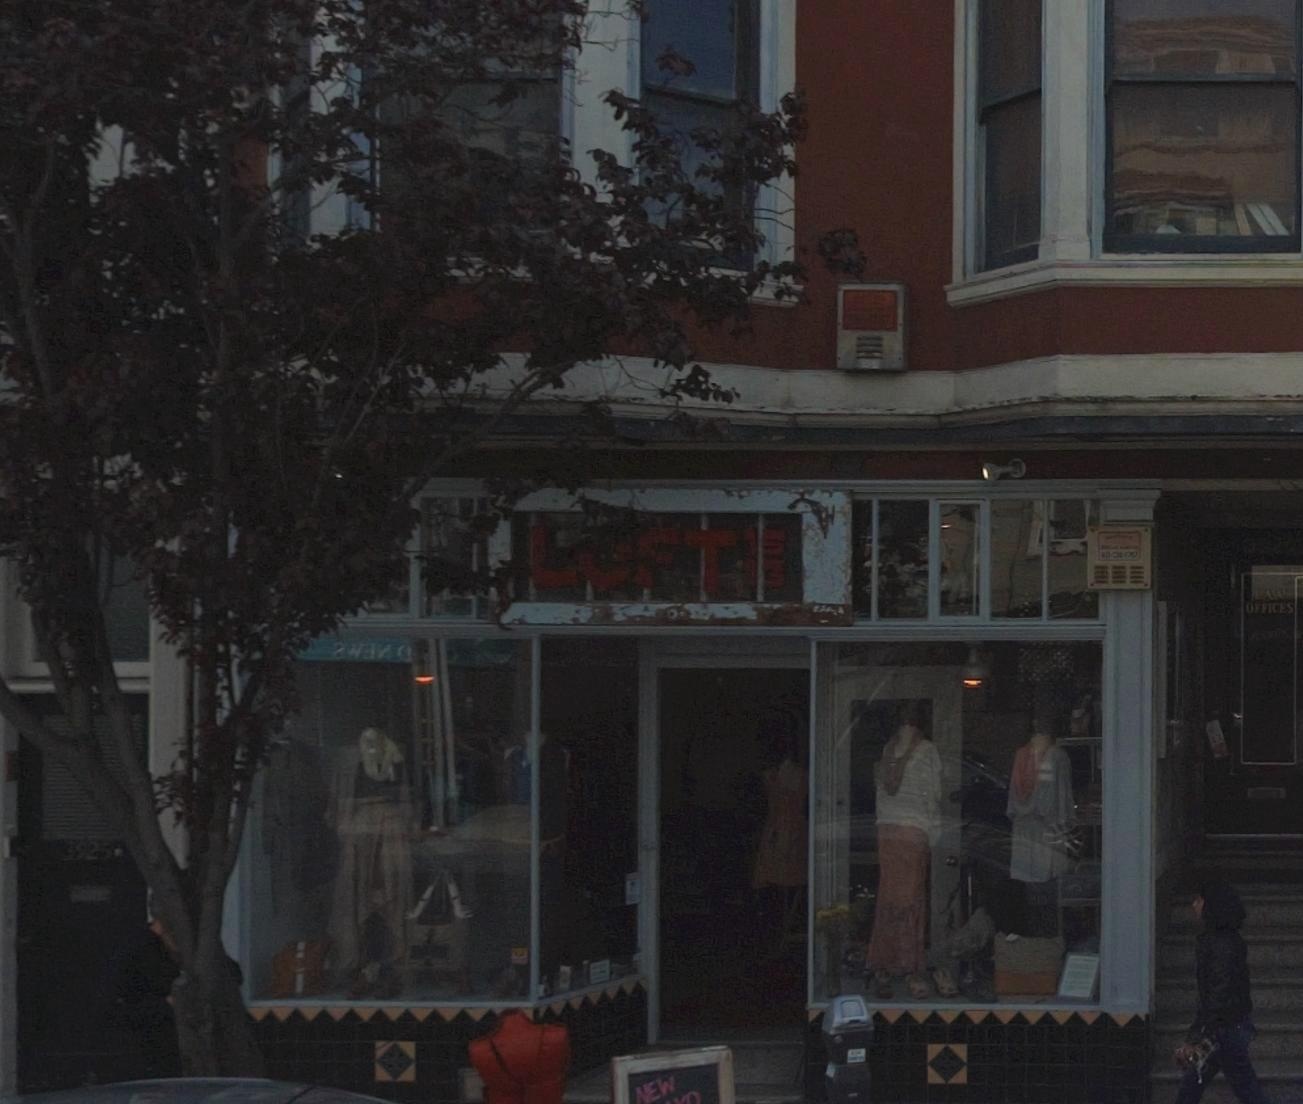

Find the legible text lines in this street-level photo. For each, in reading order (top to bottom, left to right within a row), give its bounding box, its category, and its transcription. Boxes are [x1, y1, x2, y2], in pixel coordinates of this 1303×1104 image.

[528, 524, 735, 593] BusinessName: LOFT
[1253, 587, 1286, 600] None: LAW
[1245, 601, 1294, 614] None: OFFICES
[330, 640, 413, 663] None: *W***
[633, 1072, 677, 1104] None: NEW